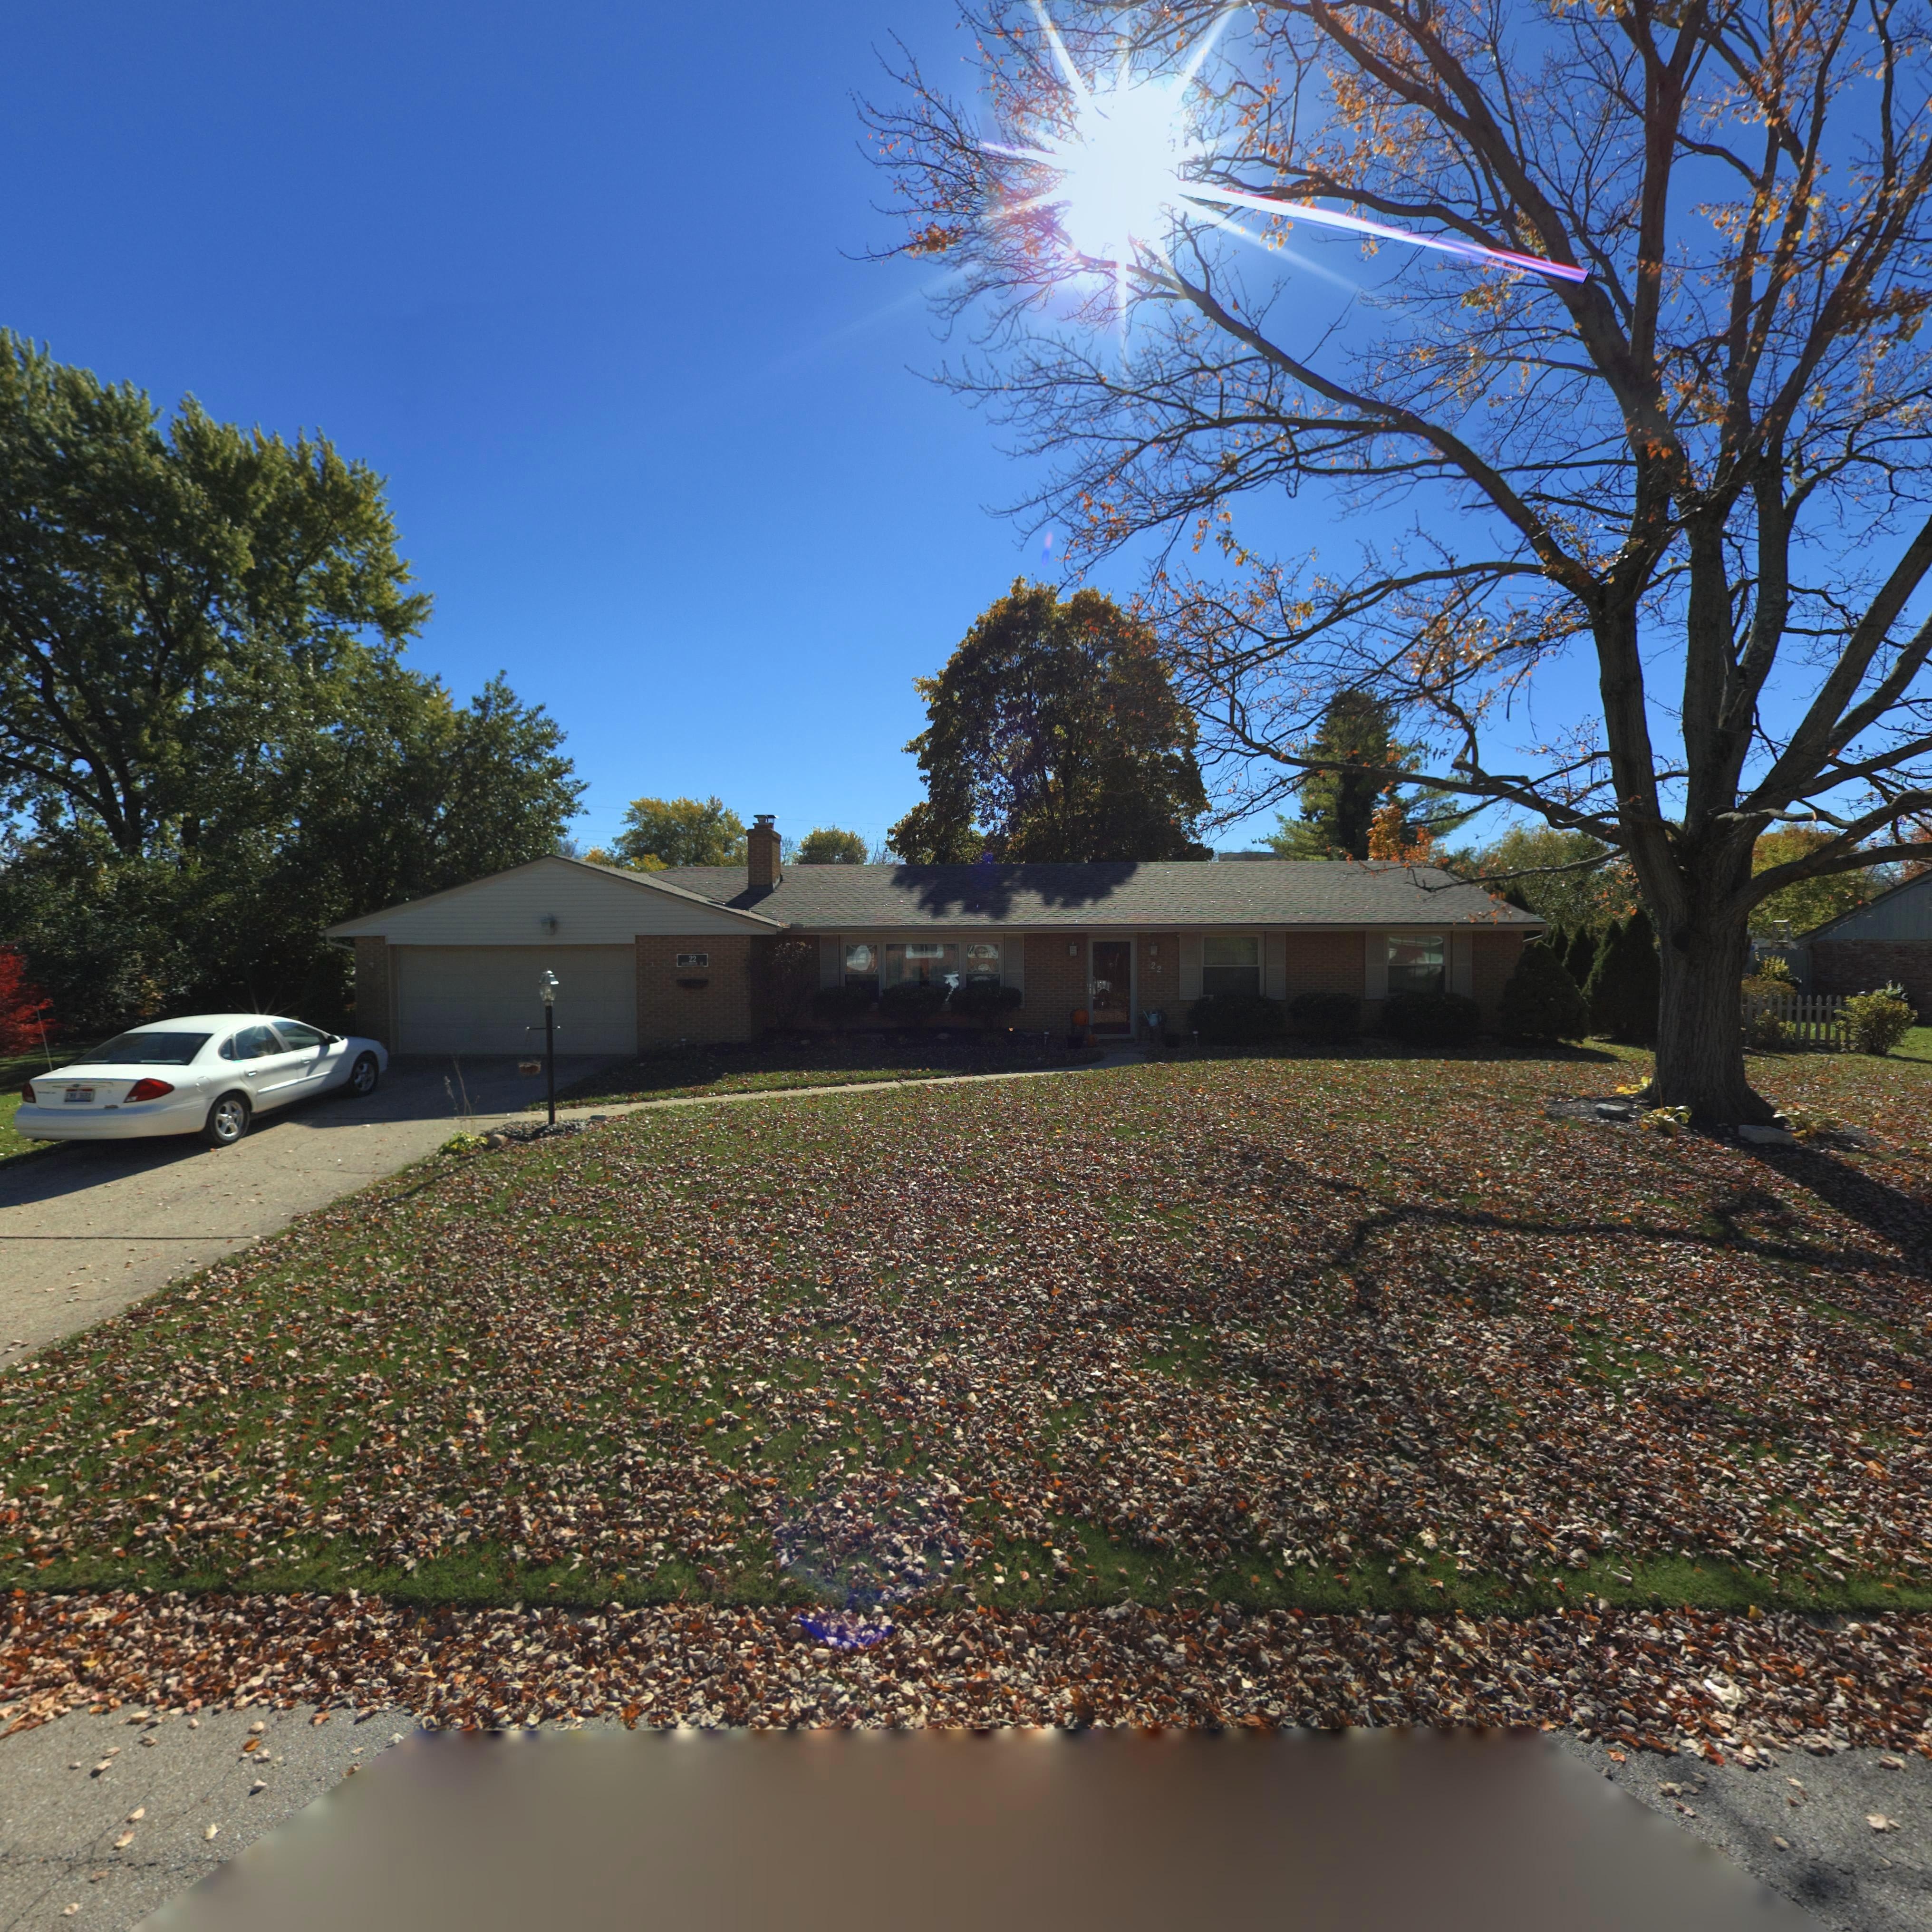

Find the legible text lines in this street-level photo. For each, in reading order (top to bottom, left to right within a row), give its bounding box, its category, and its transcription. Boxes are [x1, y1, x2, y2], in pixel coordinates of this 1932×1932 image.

[687, 955, 697, 963] StreetNumber: 22
[1150, 961, 1163, 974] StreetNumber: 22